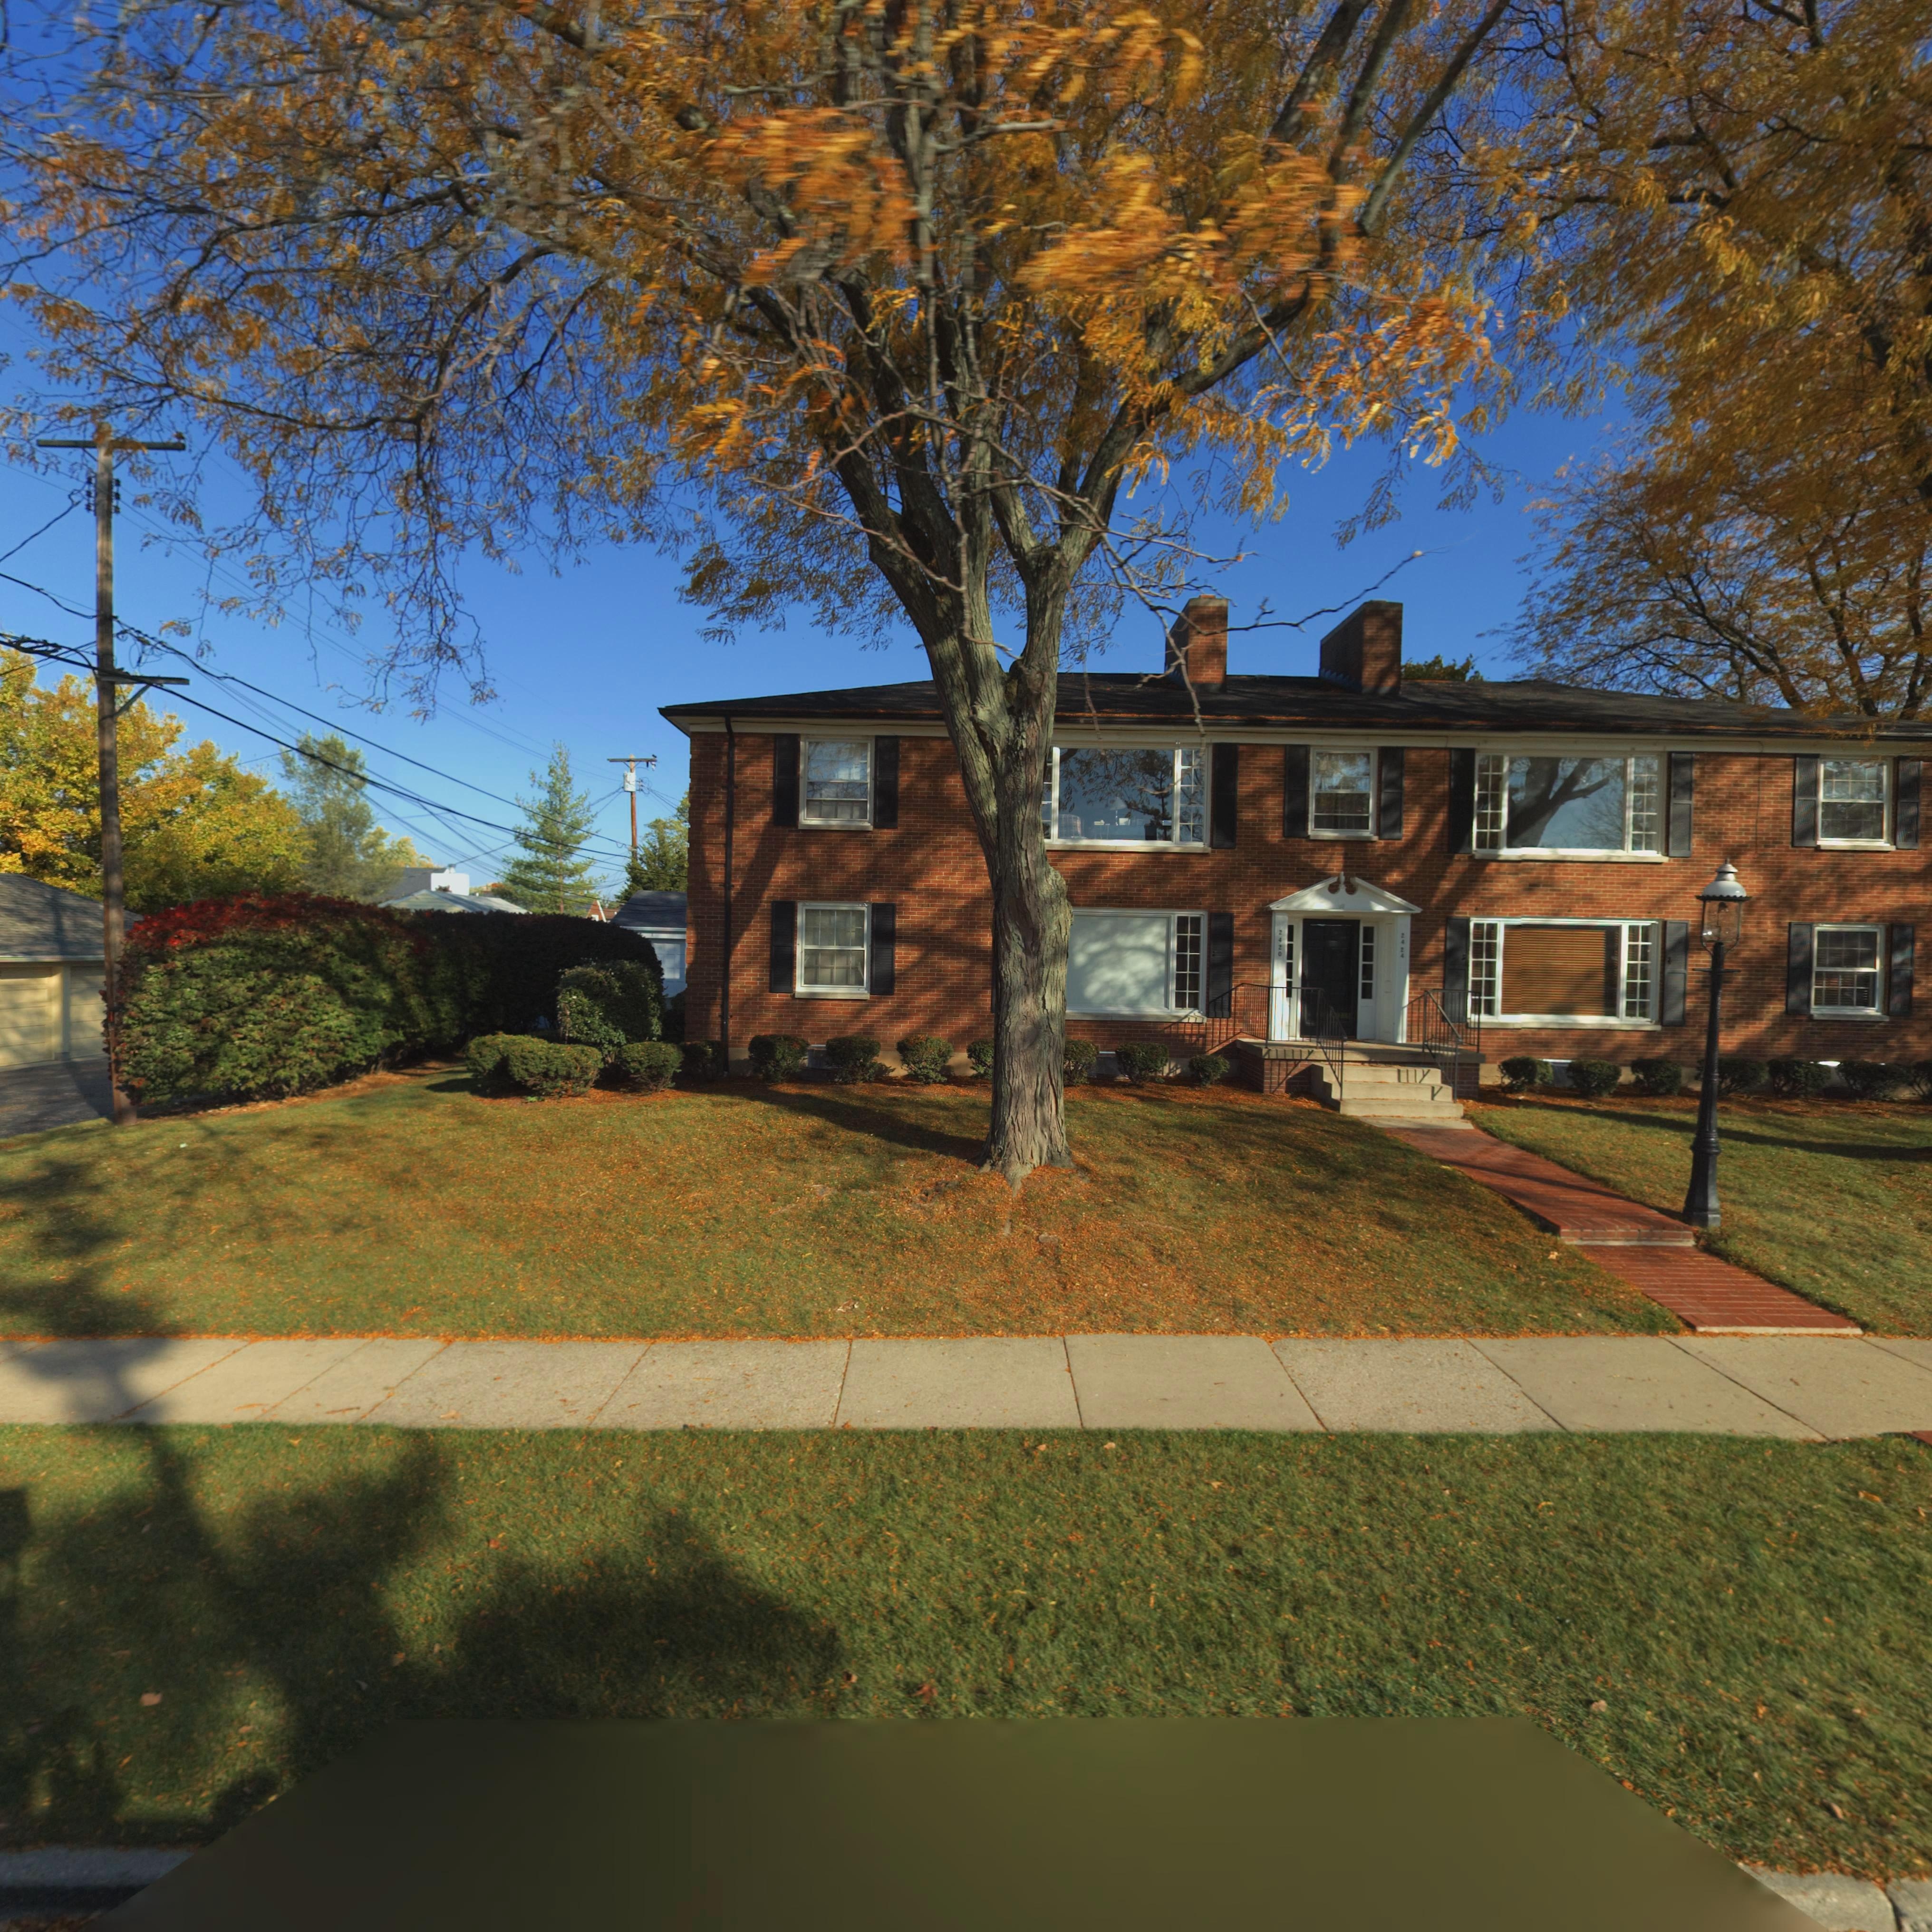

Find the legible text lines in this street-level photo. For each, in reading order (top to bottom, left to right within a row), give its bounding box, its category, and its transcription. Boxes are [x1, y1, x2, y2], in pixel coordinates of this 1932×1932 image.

[1277, 928, 1283, 958] StreetNumber: 2420
[1398, 931, 1406, 960] StreetNumber: 2424